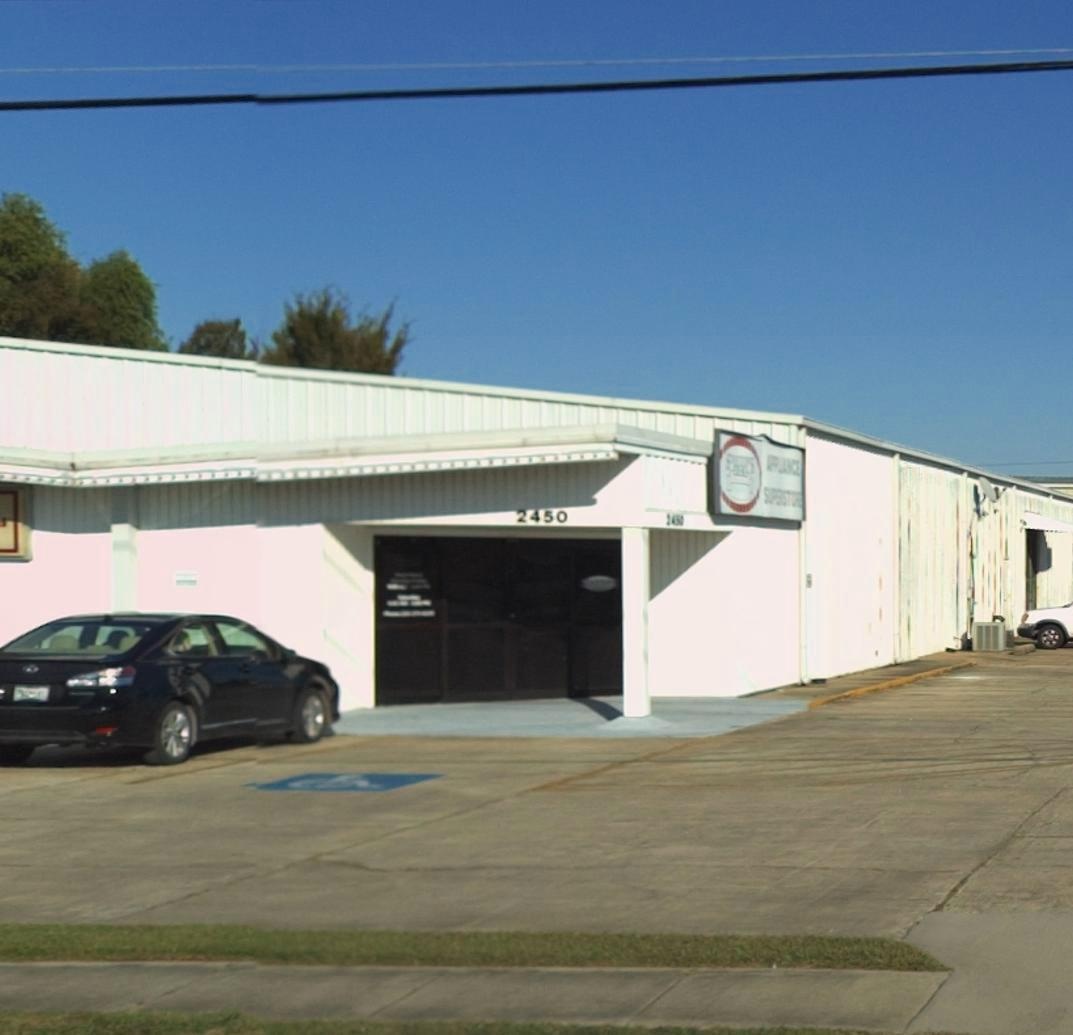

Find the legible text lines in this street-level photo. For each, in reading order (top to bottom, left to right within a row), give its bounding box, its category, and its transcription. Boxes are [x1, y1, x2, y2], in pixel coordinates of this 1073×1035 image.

[515, 508, 570, 524] StreetNumber: 2450